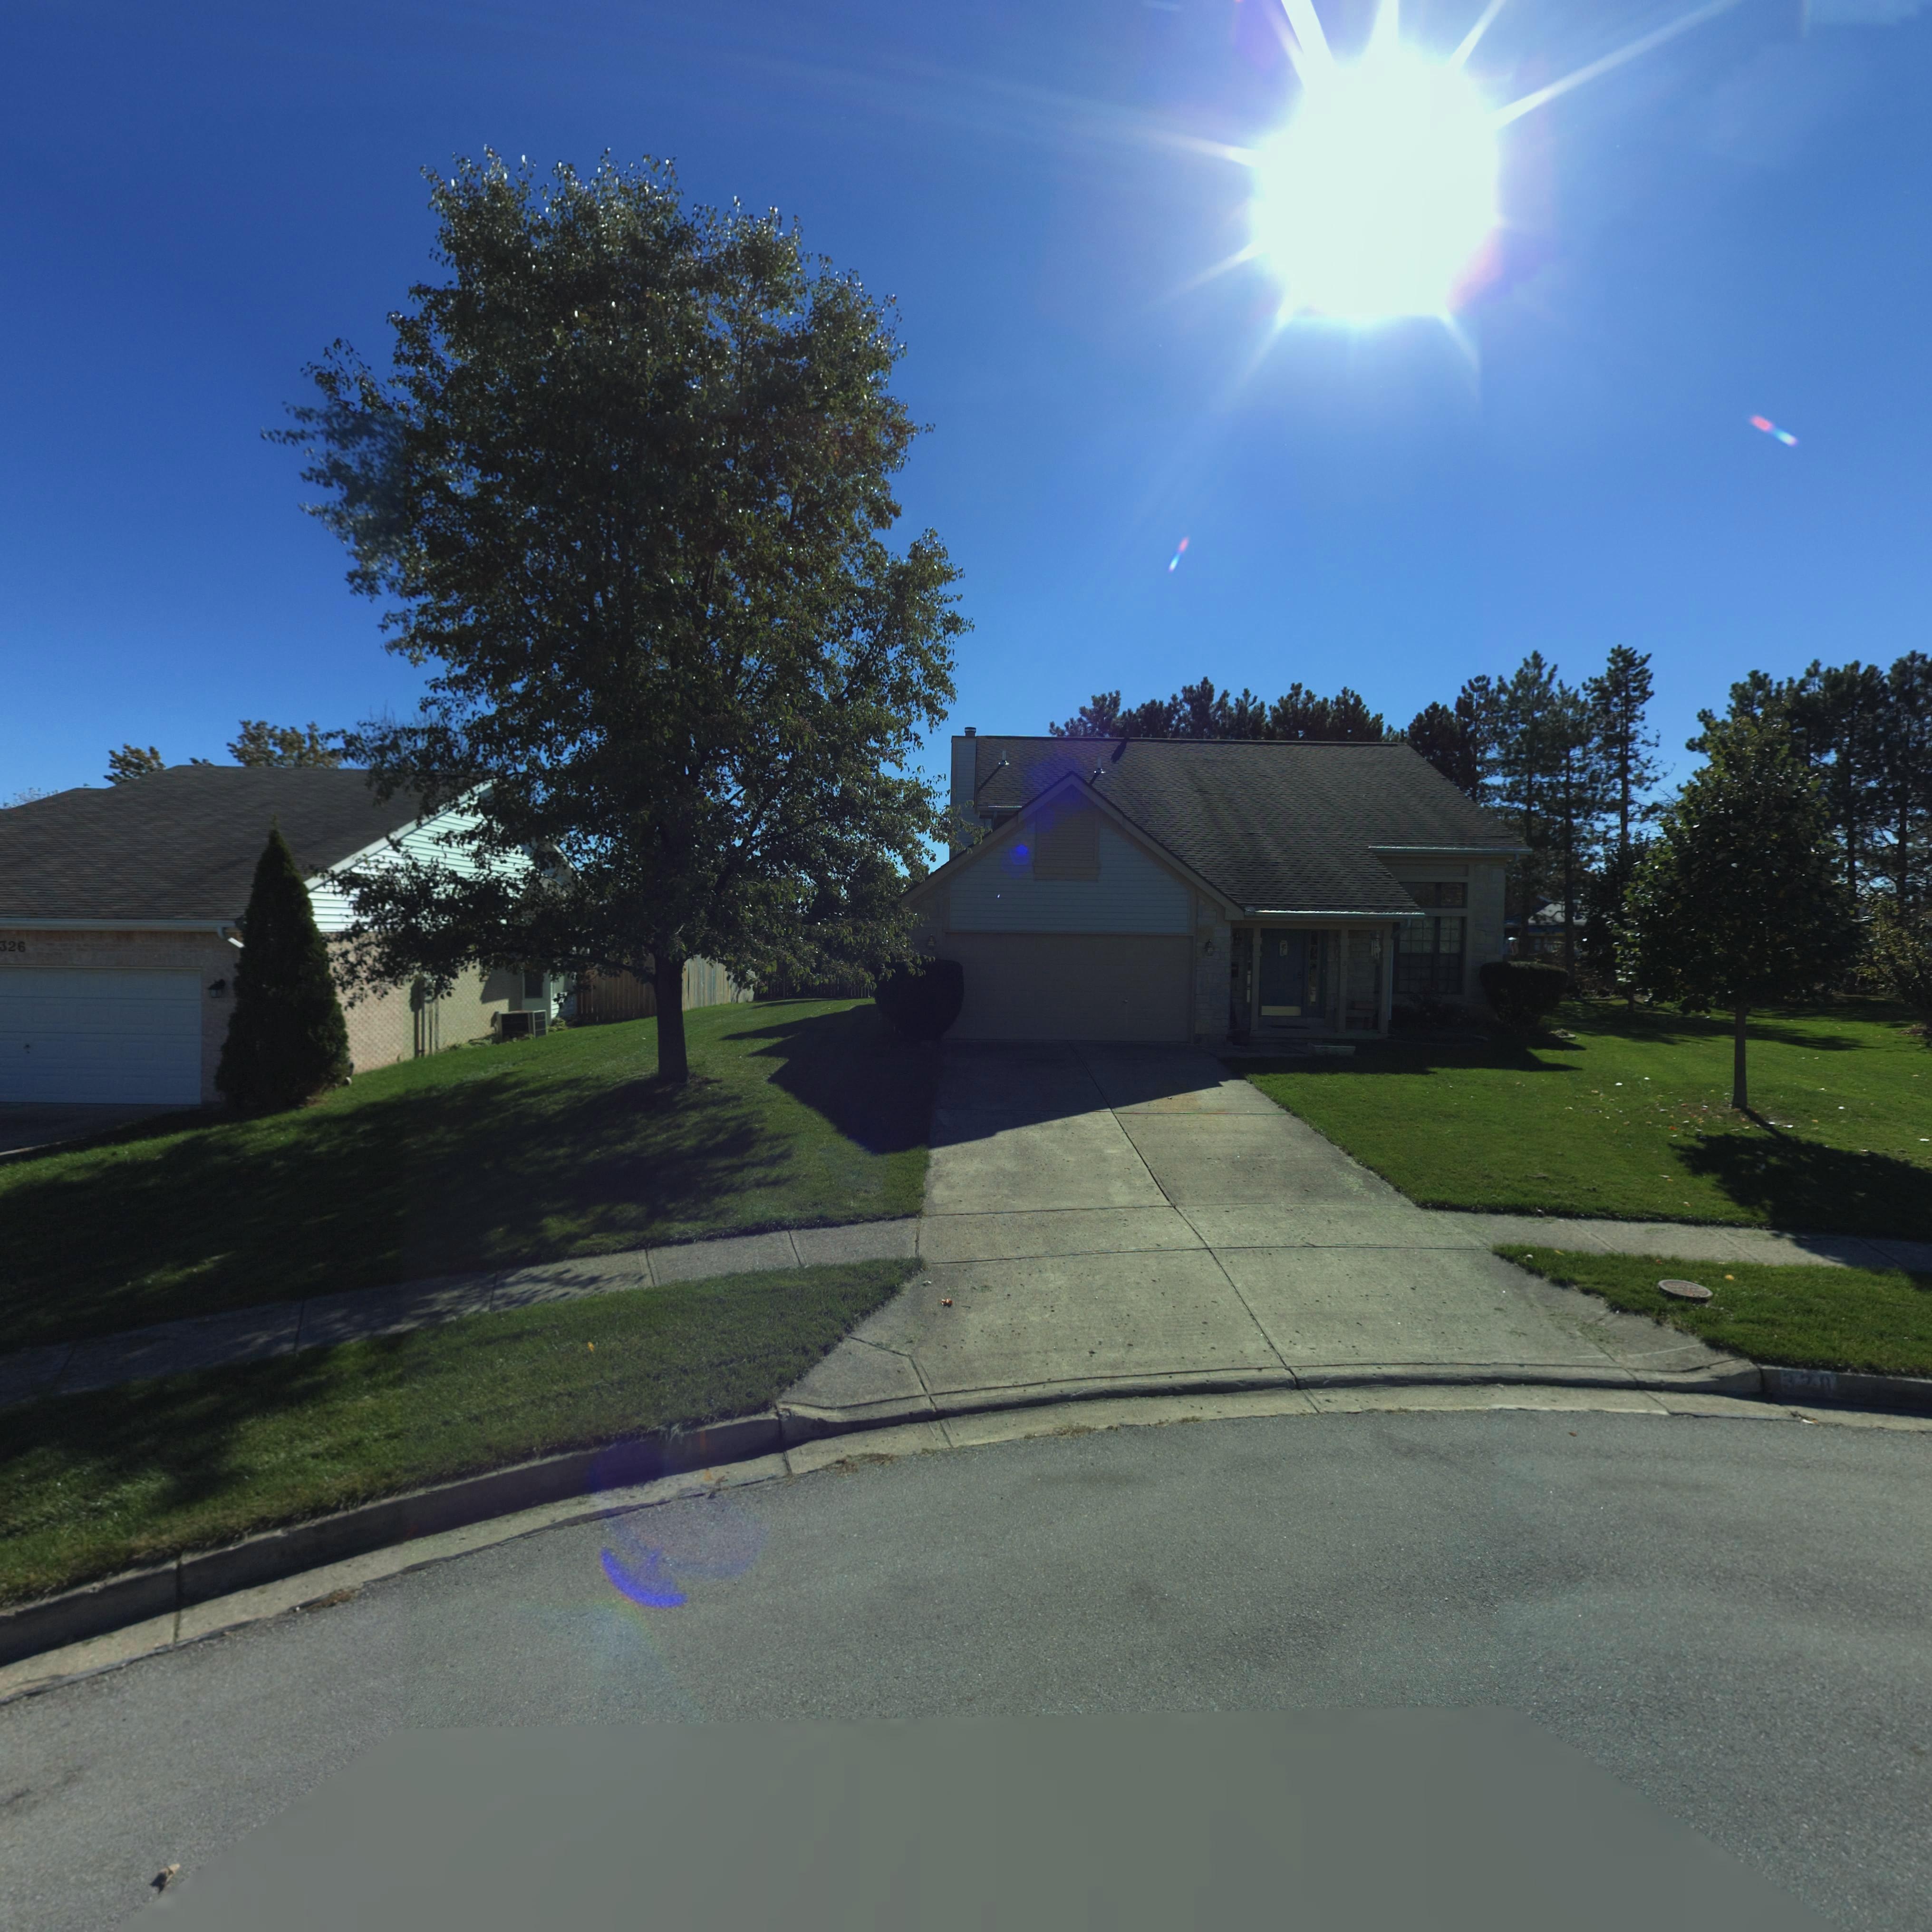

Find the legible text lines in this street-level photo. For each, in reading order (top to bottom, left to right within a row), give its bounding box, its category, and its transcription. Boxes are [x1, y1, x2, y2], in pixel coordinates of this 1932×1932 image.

[0, 939, 27, 954] StreetNumber: 326
[1341, 960, 1347, 967] StreetNumber: 3
[1781, 1371, 1834, 1394] StreetNumber: 3**